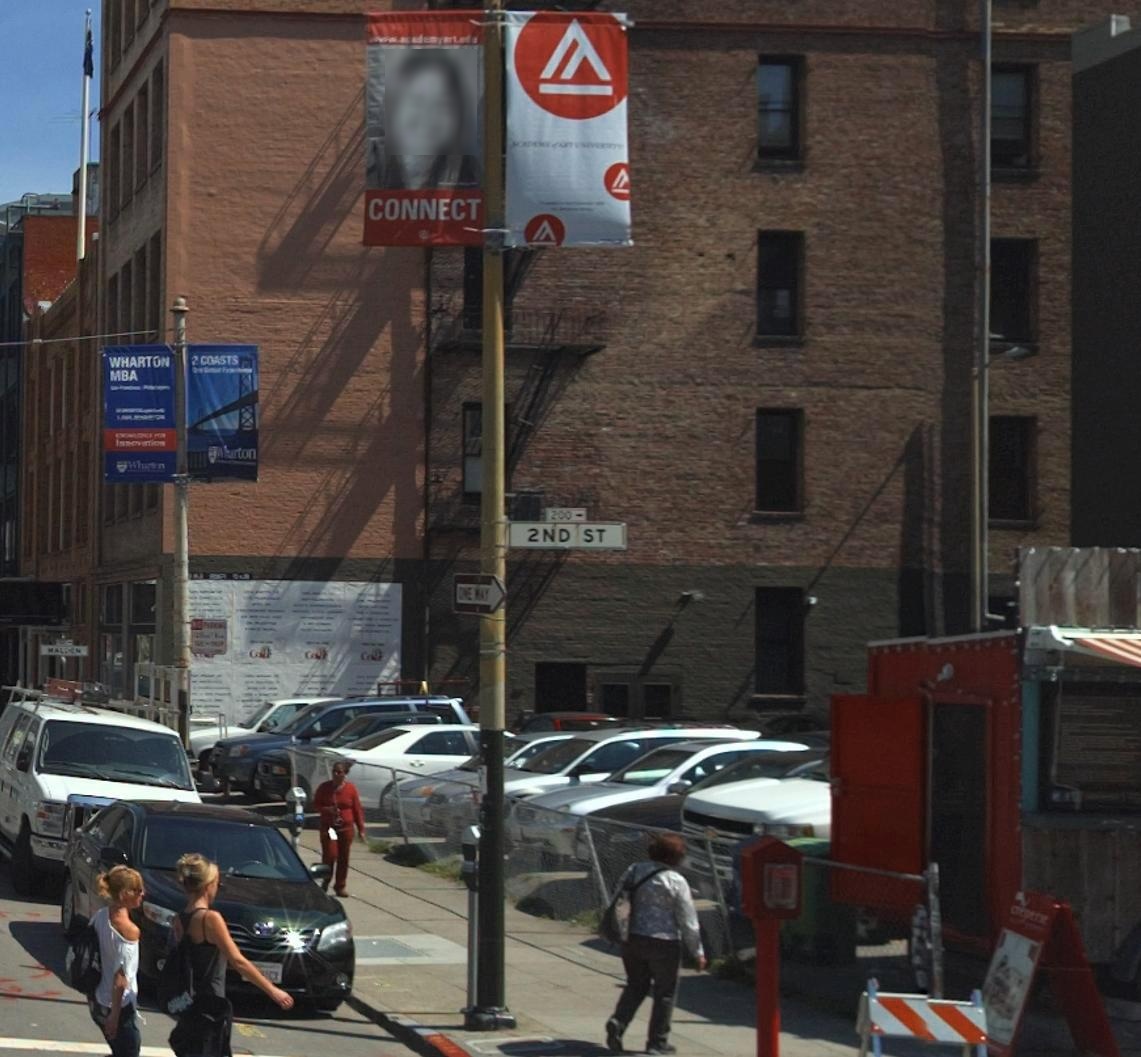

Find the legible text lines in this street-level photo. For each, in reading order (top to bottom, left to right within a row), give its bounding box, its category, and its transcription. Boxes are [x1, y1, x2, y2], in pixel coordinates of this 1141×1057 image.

[366, 197, 483, 223] None: CONNECT
[106, 355, 171, 369] None: WHARTON
[190, 354, 239, 365] None: 2 COASTS
[107, 370, 139, 383] None: MBA
[217, 445, 256, 460] None: ***TON
[549, 510, 584, 521] StreetNumberRange: 200->
[526, 527, 607, 543] StreetName: 2ND ST
[457, 586, 491, 602] None: ONE WAY
[191, 619, 225, 629] None: NO PARKING